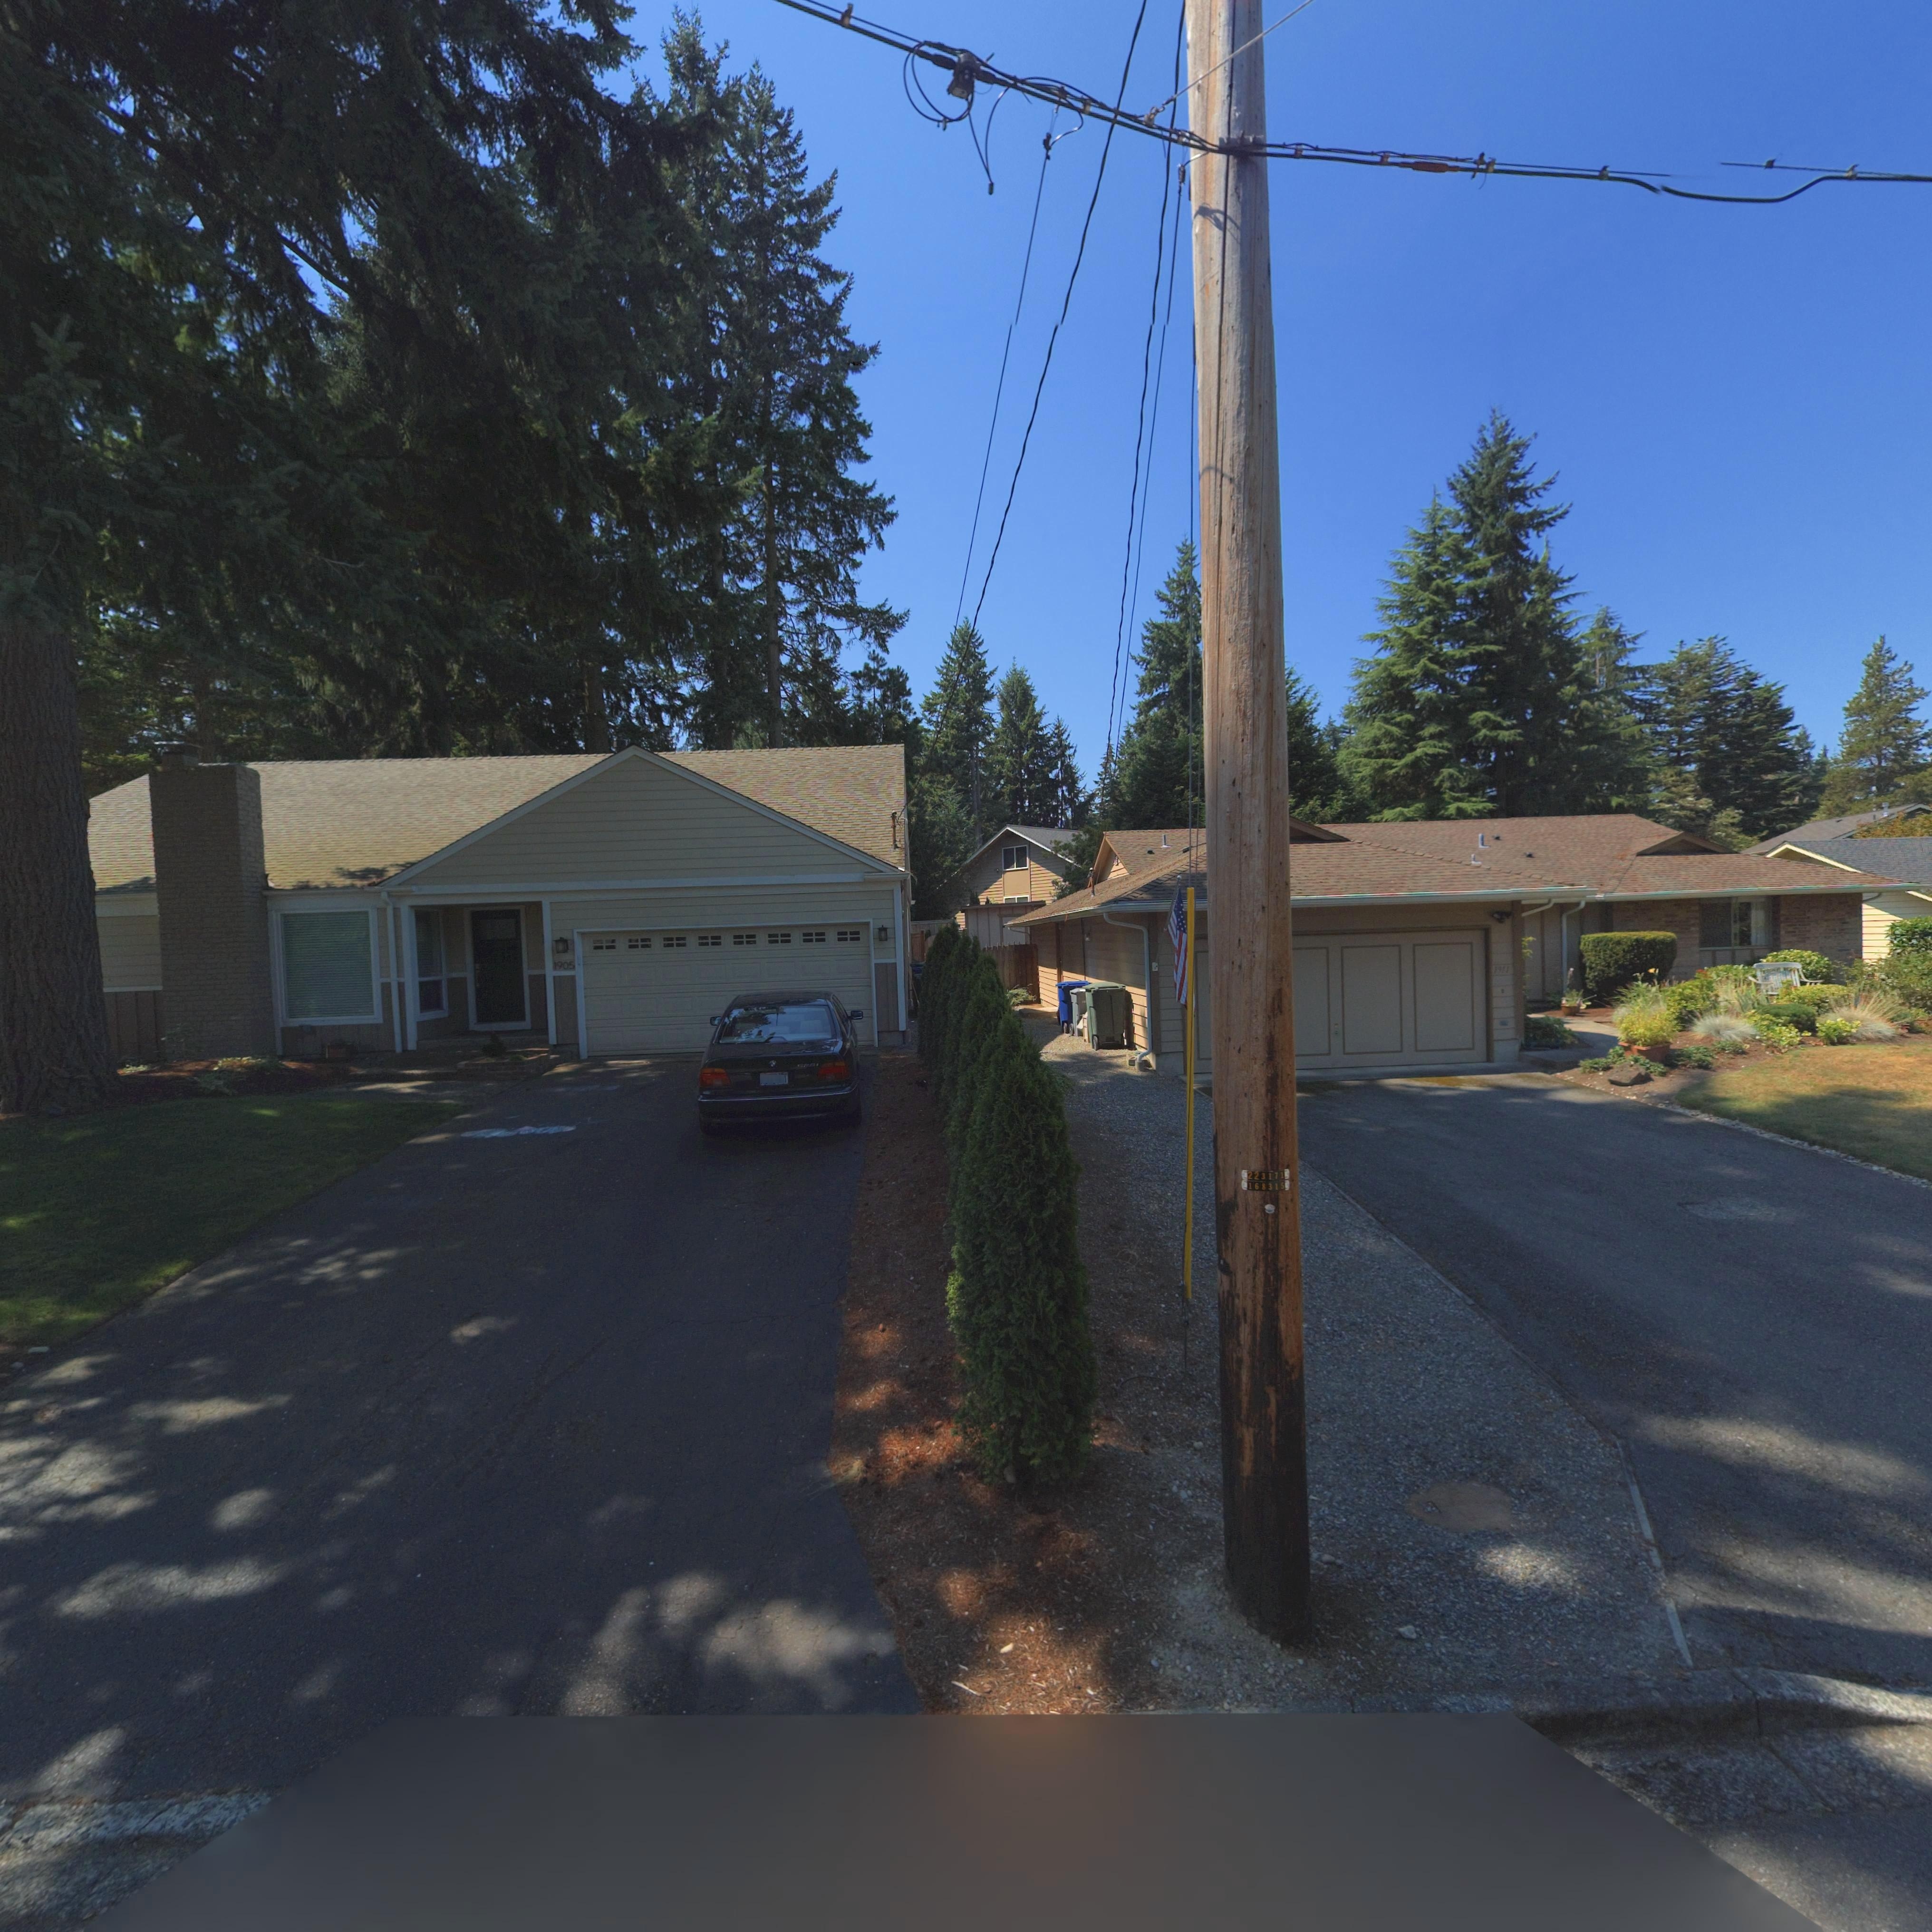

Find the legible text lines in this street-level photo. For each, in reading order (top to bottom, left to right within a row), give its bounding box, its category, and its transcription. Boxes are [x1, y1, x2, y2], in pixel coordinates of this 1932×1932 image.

[553, 960, 575, 971] StreetNumber: 1905
[1493, 965, 1510, 974] StreetNumber: 1911